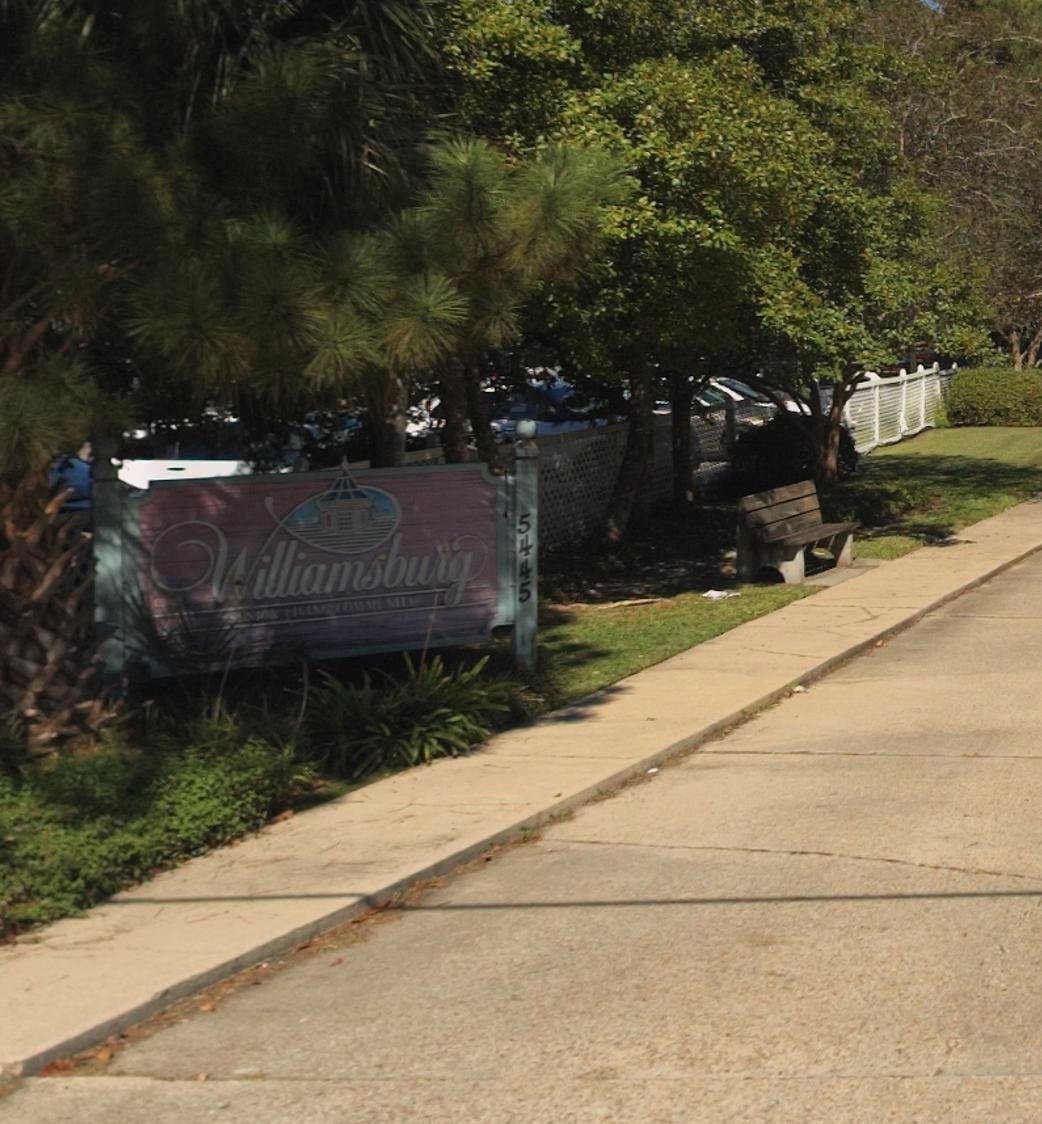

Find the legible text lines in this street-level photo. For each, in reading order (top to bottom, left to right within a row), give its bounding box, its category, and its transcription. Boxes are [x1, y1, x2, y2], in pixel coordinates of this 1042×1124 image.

[207, 515, 480, 613] BusinessName: Williamsburg
[515, 510, 535, 606] StreetNumber: 5445